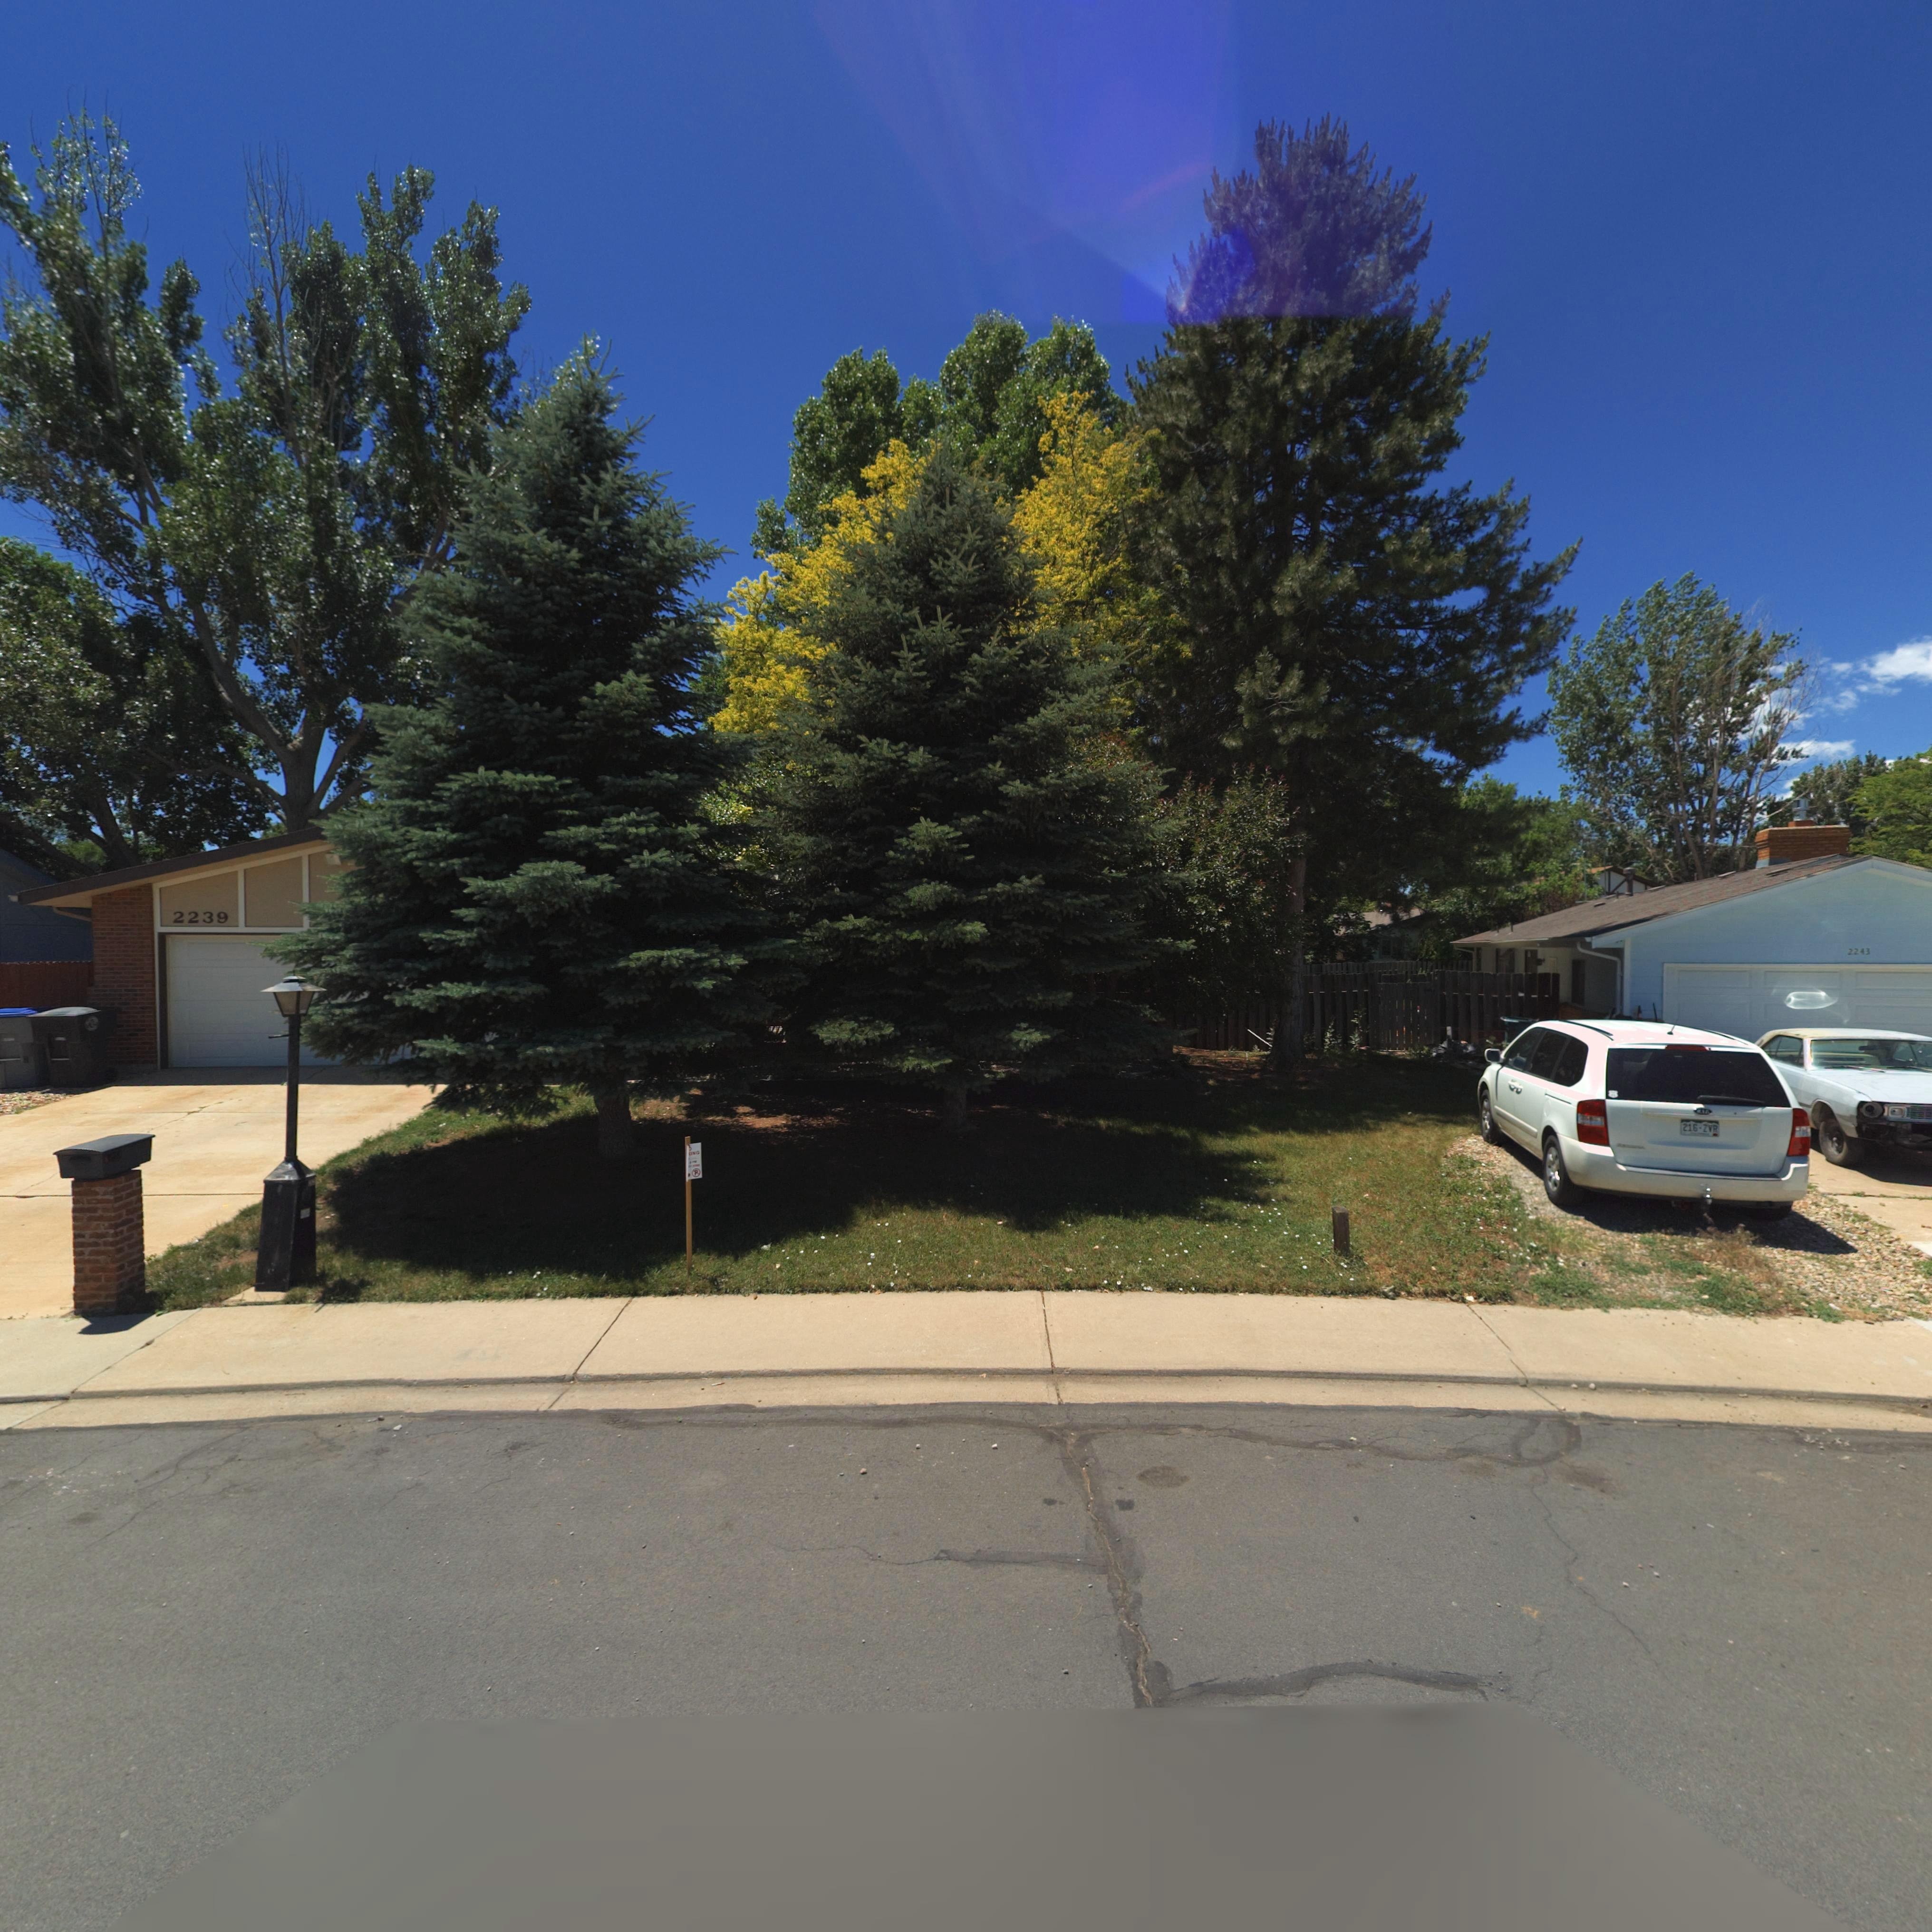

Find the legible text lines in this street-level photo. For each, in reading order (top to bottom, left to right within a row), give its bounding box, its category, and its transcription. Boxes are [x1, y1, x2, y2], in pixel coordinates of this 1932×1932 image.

[172, 910, 228, 924] StreetNumber: 2239
[1846, 947, 1871, 956] StreetNumber: 2243